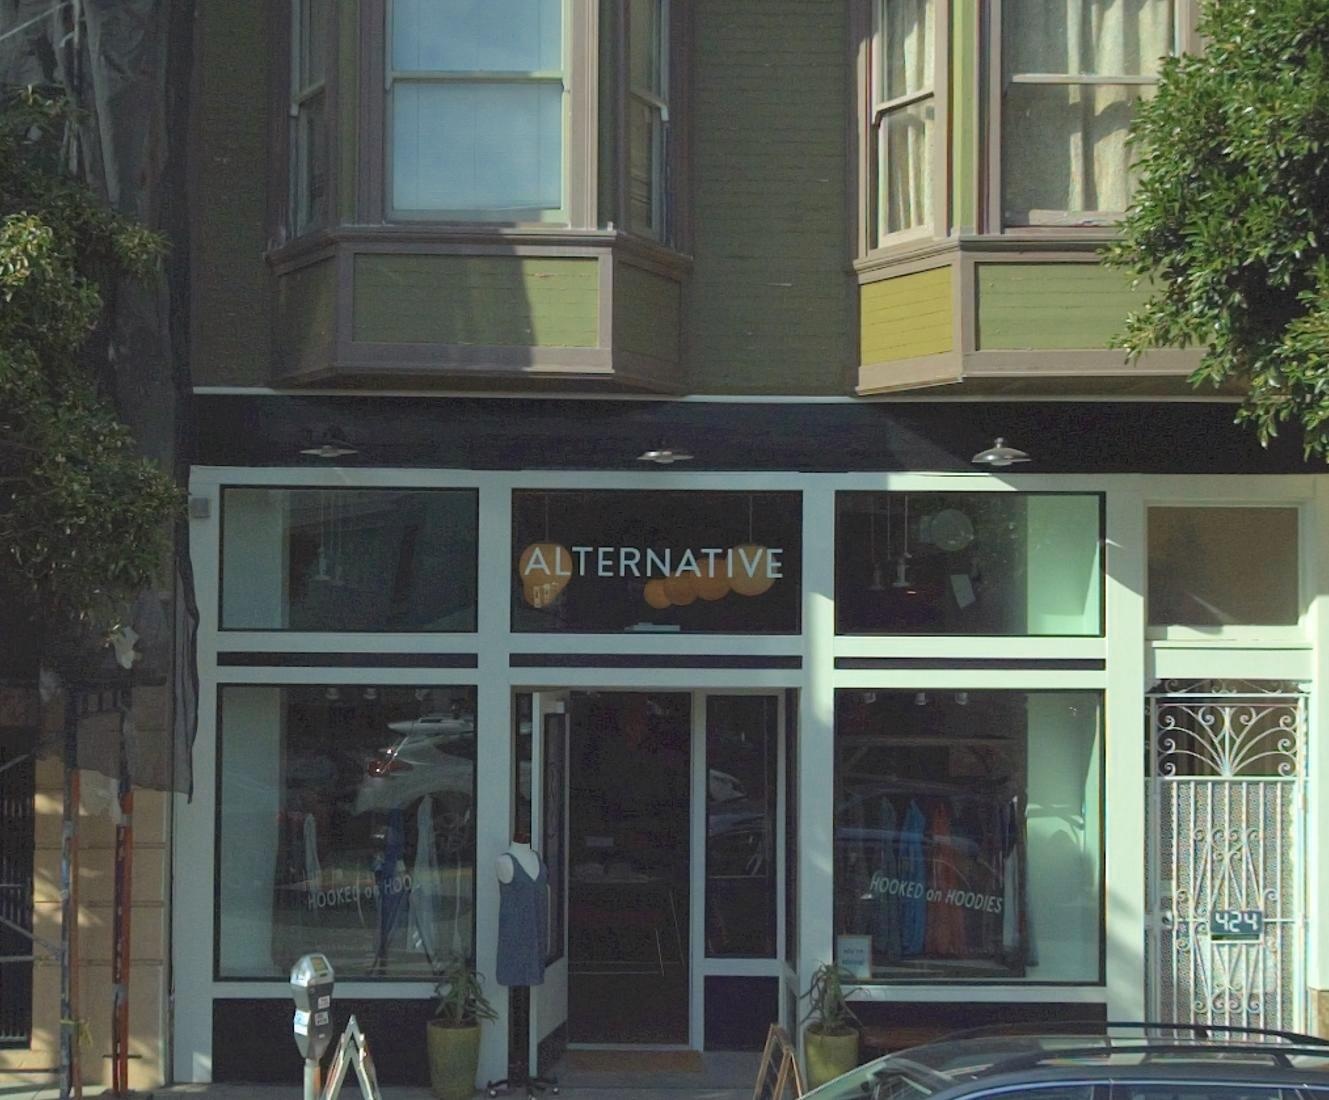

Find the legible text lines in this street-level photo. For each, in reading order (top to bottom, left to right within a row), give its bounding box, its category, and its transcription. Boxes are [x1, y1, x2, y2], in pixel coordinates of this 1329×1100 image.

[520, 544, 787, 582] BusinessName: Alternative
[305, 872, 415, 914] None: HOOKED O* HOO
[866, 873, 1006, 917] None: HOOKED on HOODIES
[1210, 910, 1261, 934] StreetNumber: 424